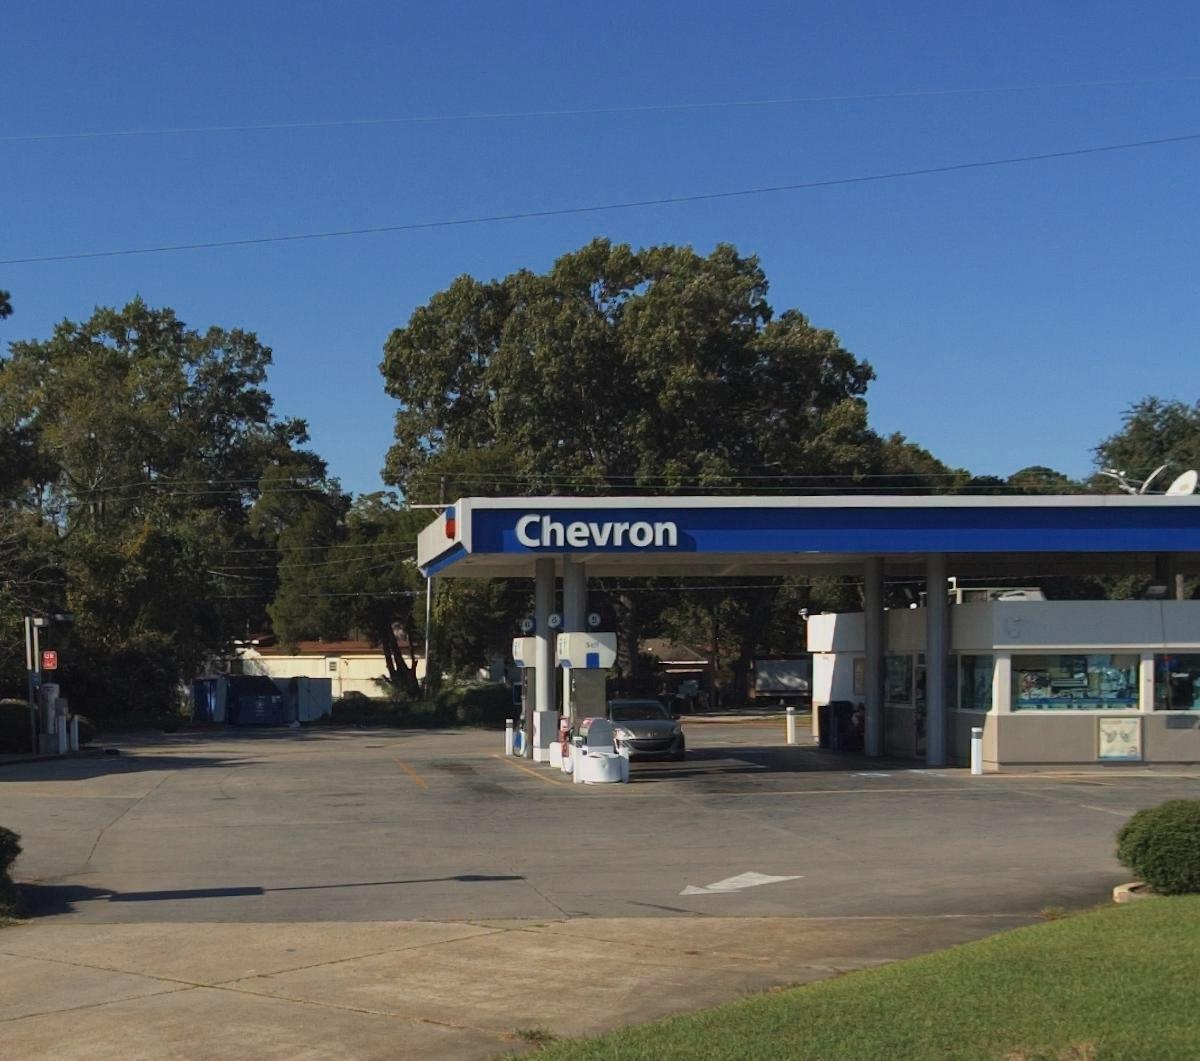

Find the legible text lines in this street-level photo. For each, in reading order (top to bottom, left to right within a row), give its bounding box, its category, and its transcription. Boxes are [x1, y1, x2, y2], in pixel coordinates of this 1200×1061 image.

[513, 511, 680, 551] BusinessName: Chevron
[590, 614, 599, 625] None: 9
[583, 640, 602, 650] None: Self